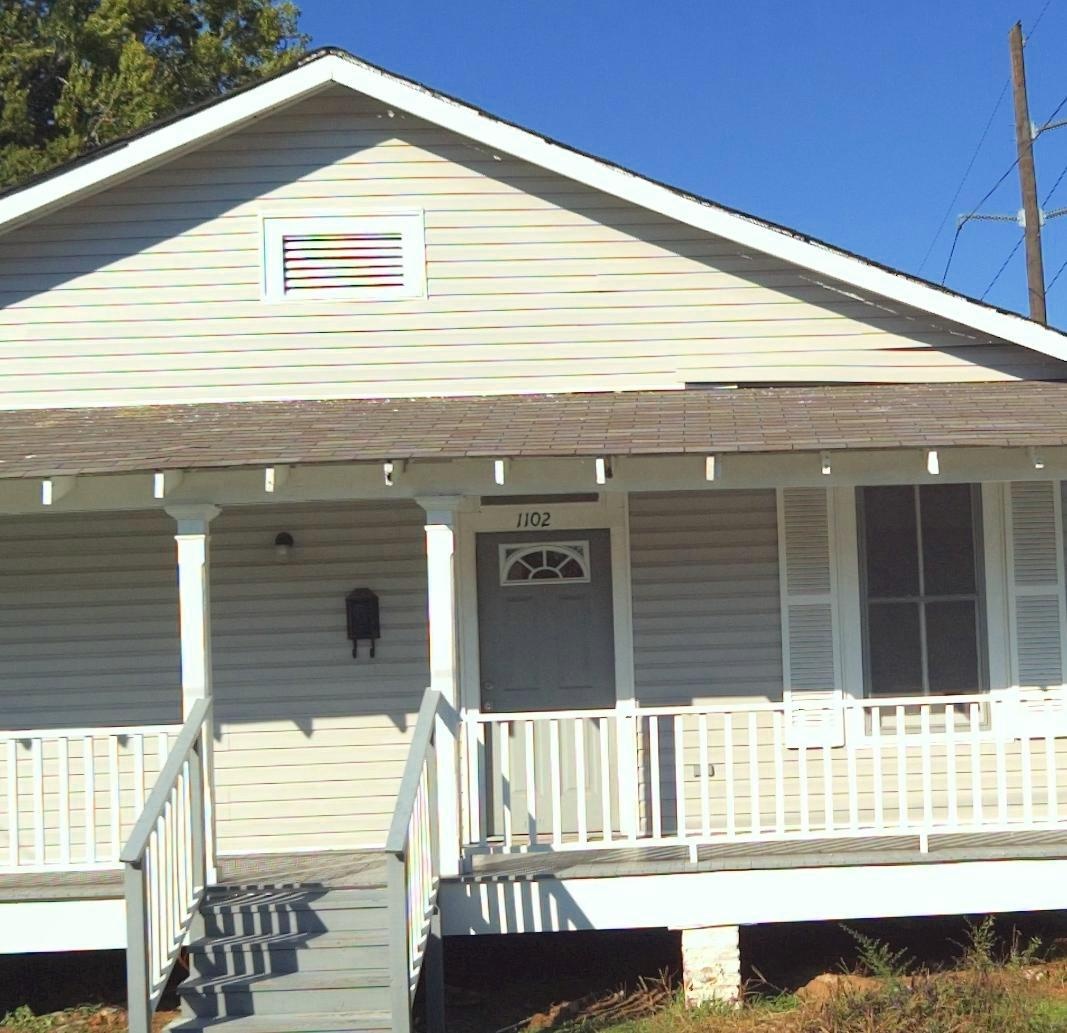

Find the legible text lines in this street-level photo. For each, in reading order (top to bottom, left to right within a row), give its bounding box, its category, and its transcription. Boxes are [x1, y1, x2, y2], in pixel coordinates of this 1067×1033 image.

[514, 508, 553, 532] StreetNumber: 1102